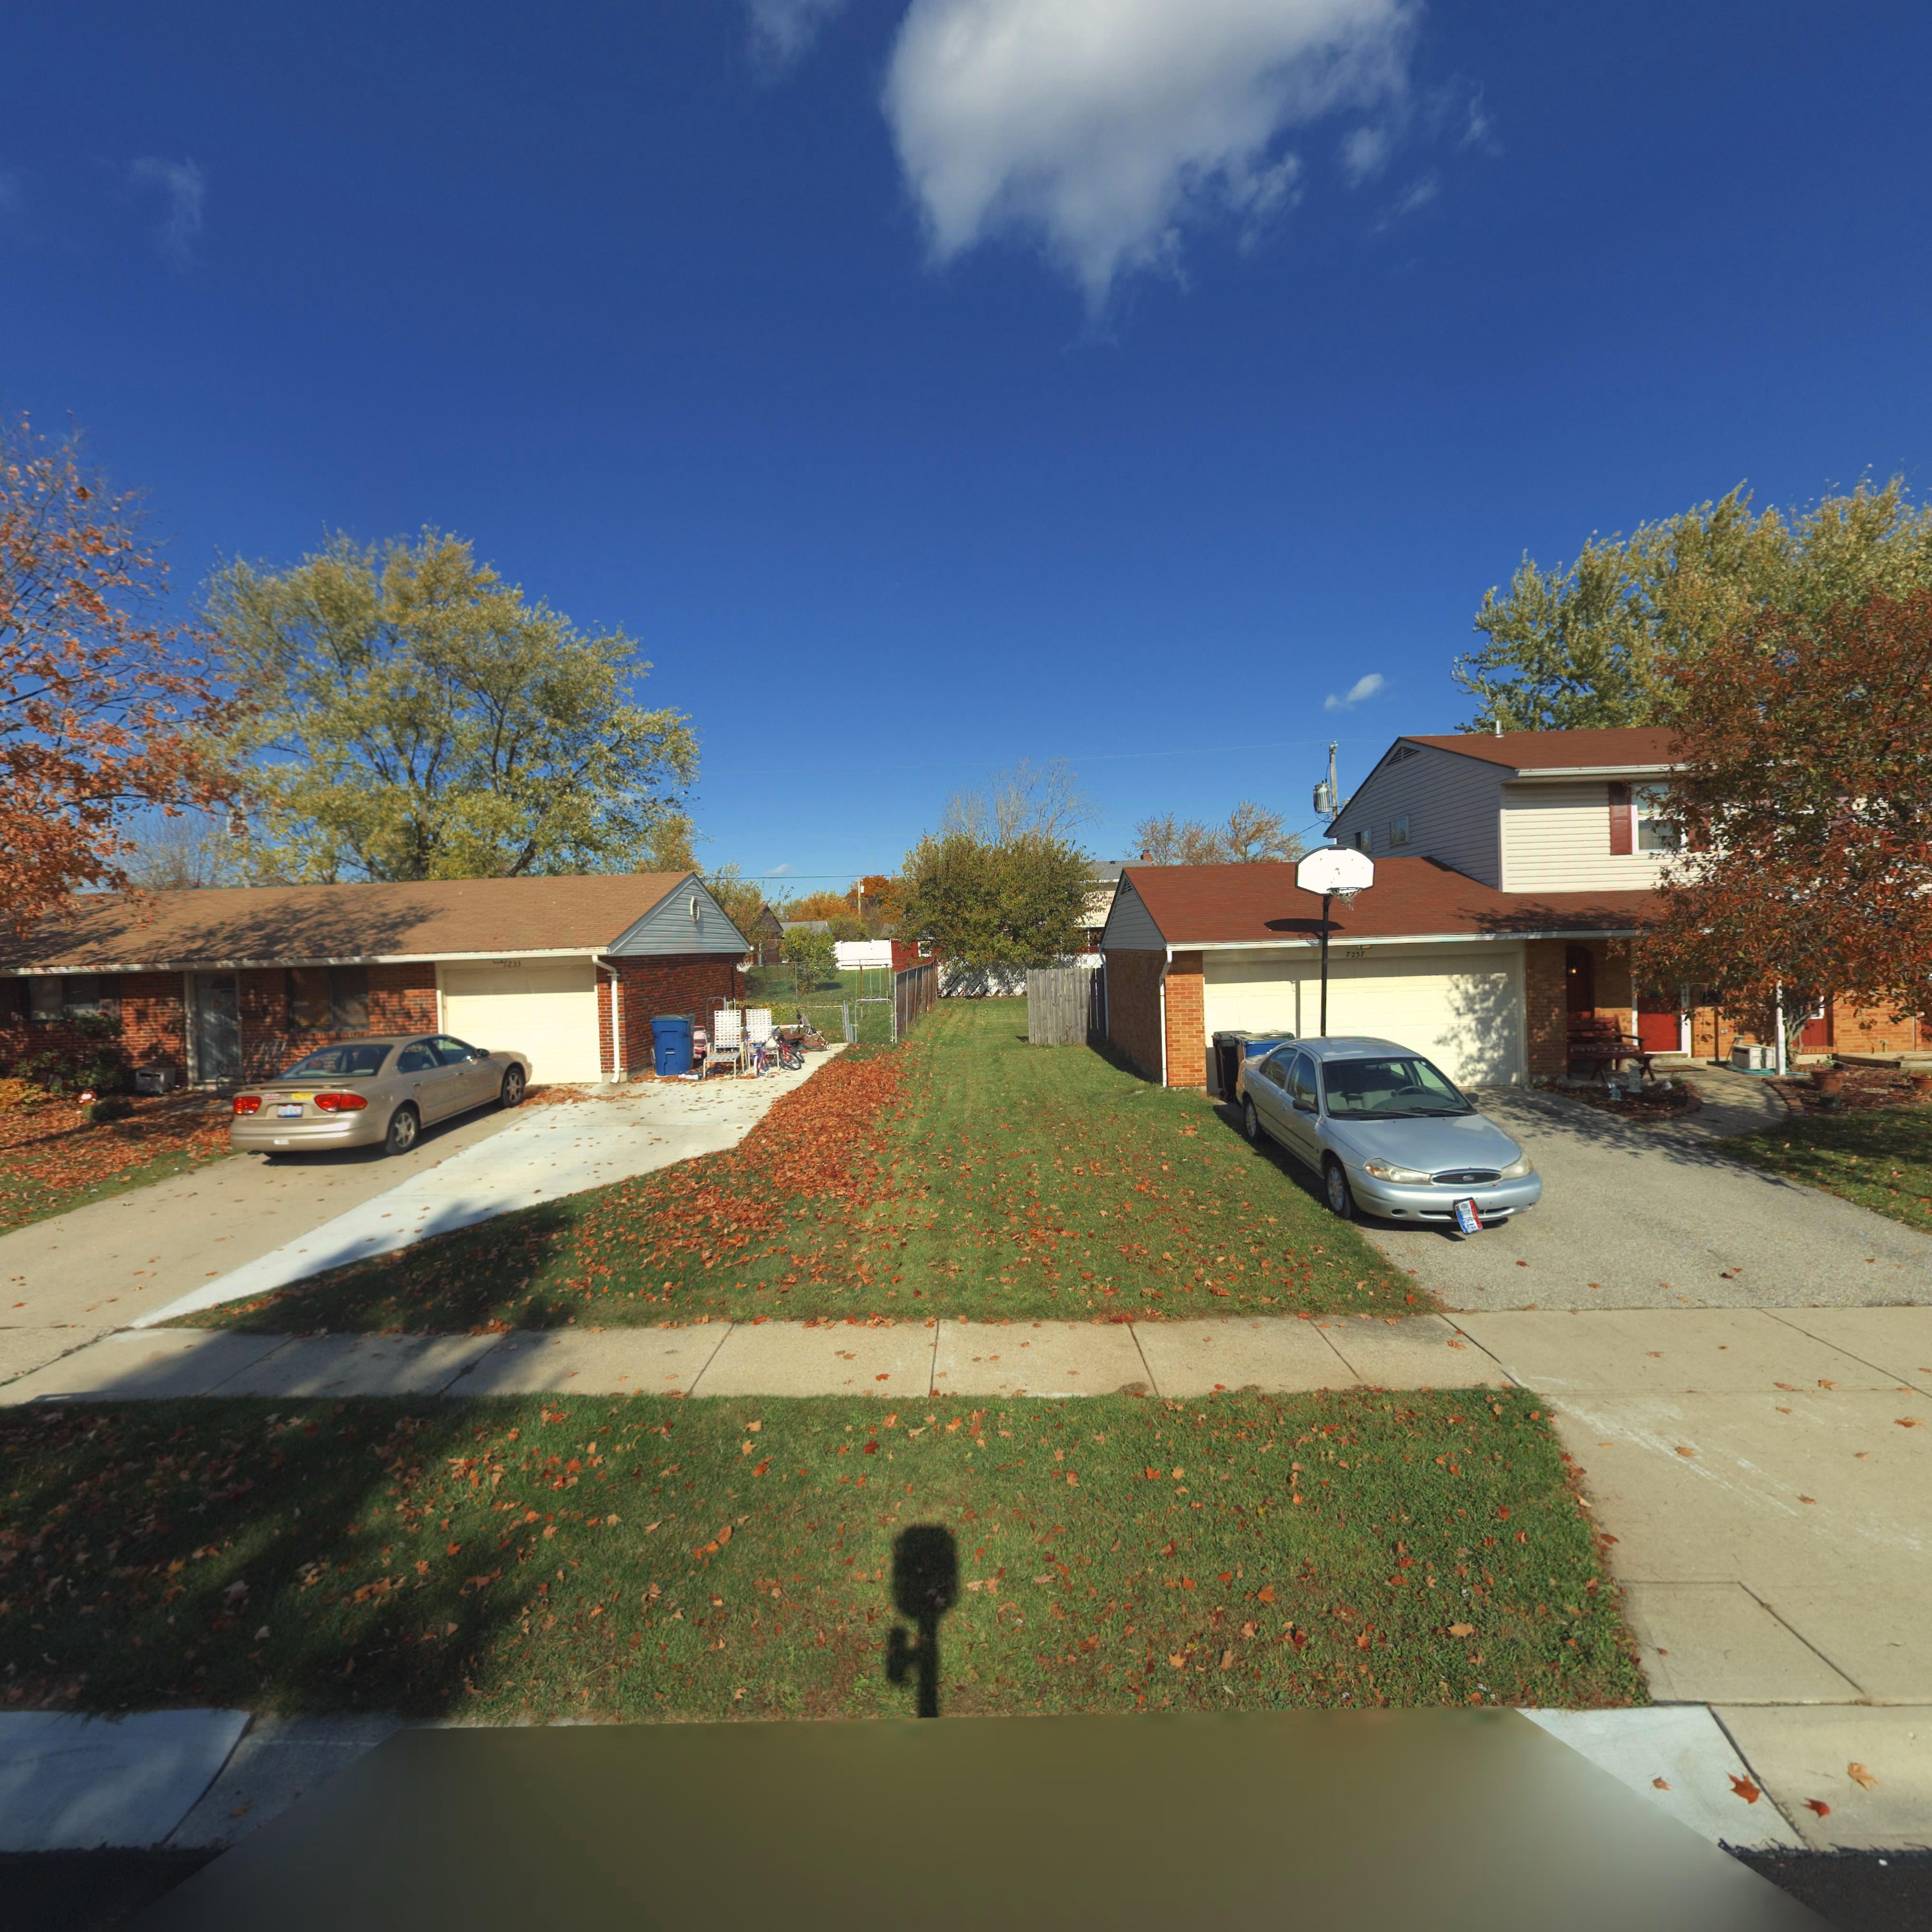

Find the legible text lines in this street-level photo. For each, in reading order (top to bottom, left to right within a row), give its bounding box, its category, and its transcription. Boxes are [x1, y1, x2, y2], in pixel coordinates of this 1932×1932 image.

[1345, 950, 1366, 958] StreetNumber: 7237
[506, 959, 522, 969] StreetNumber: 233